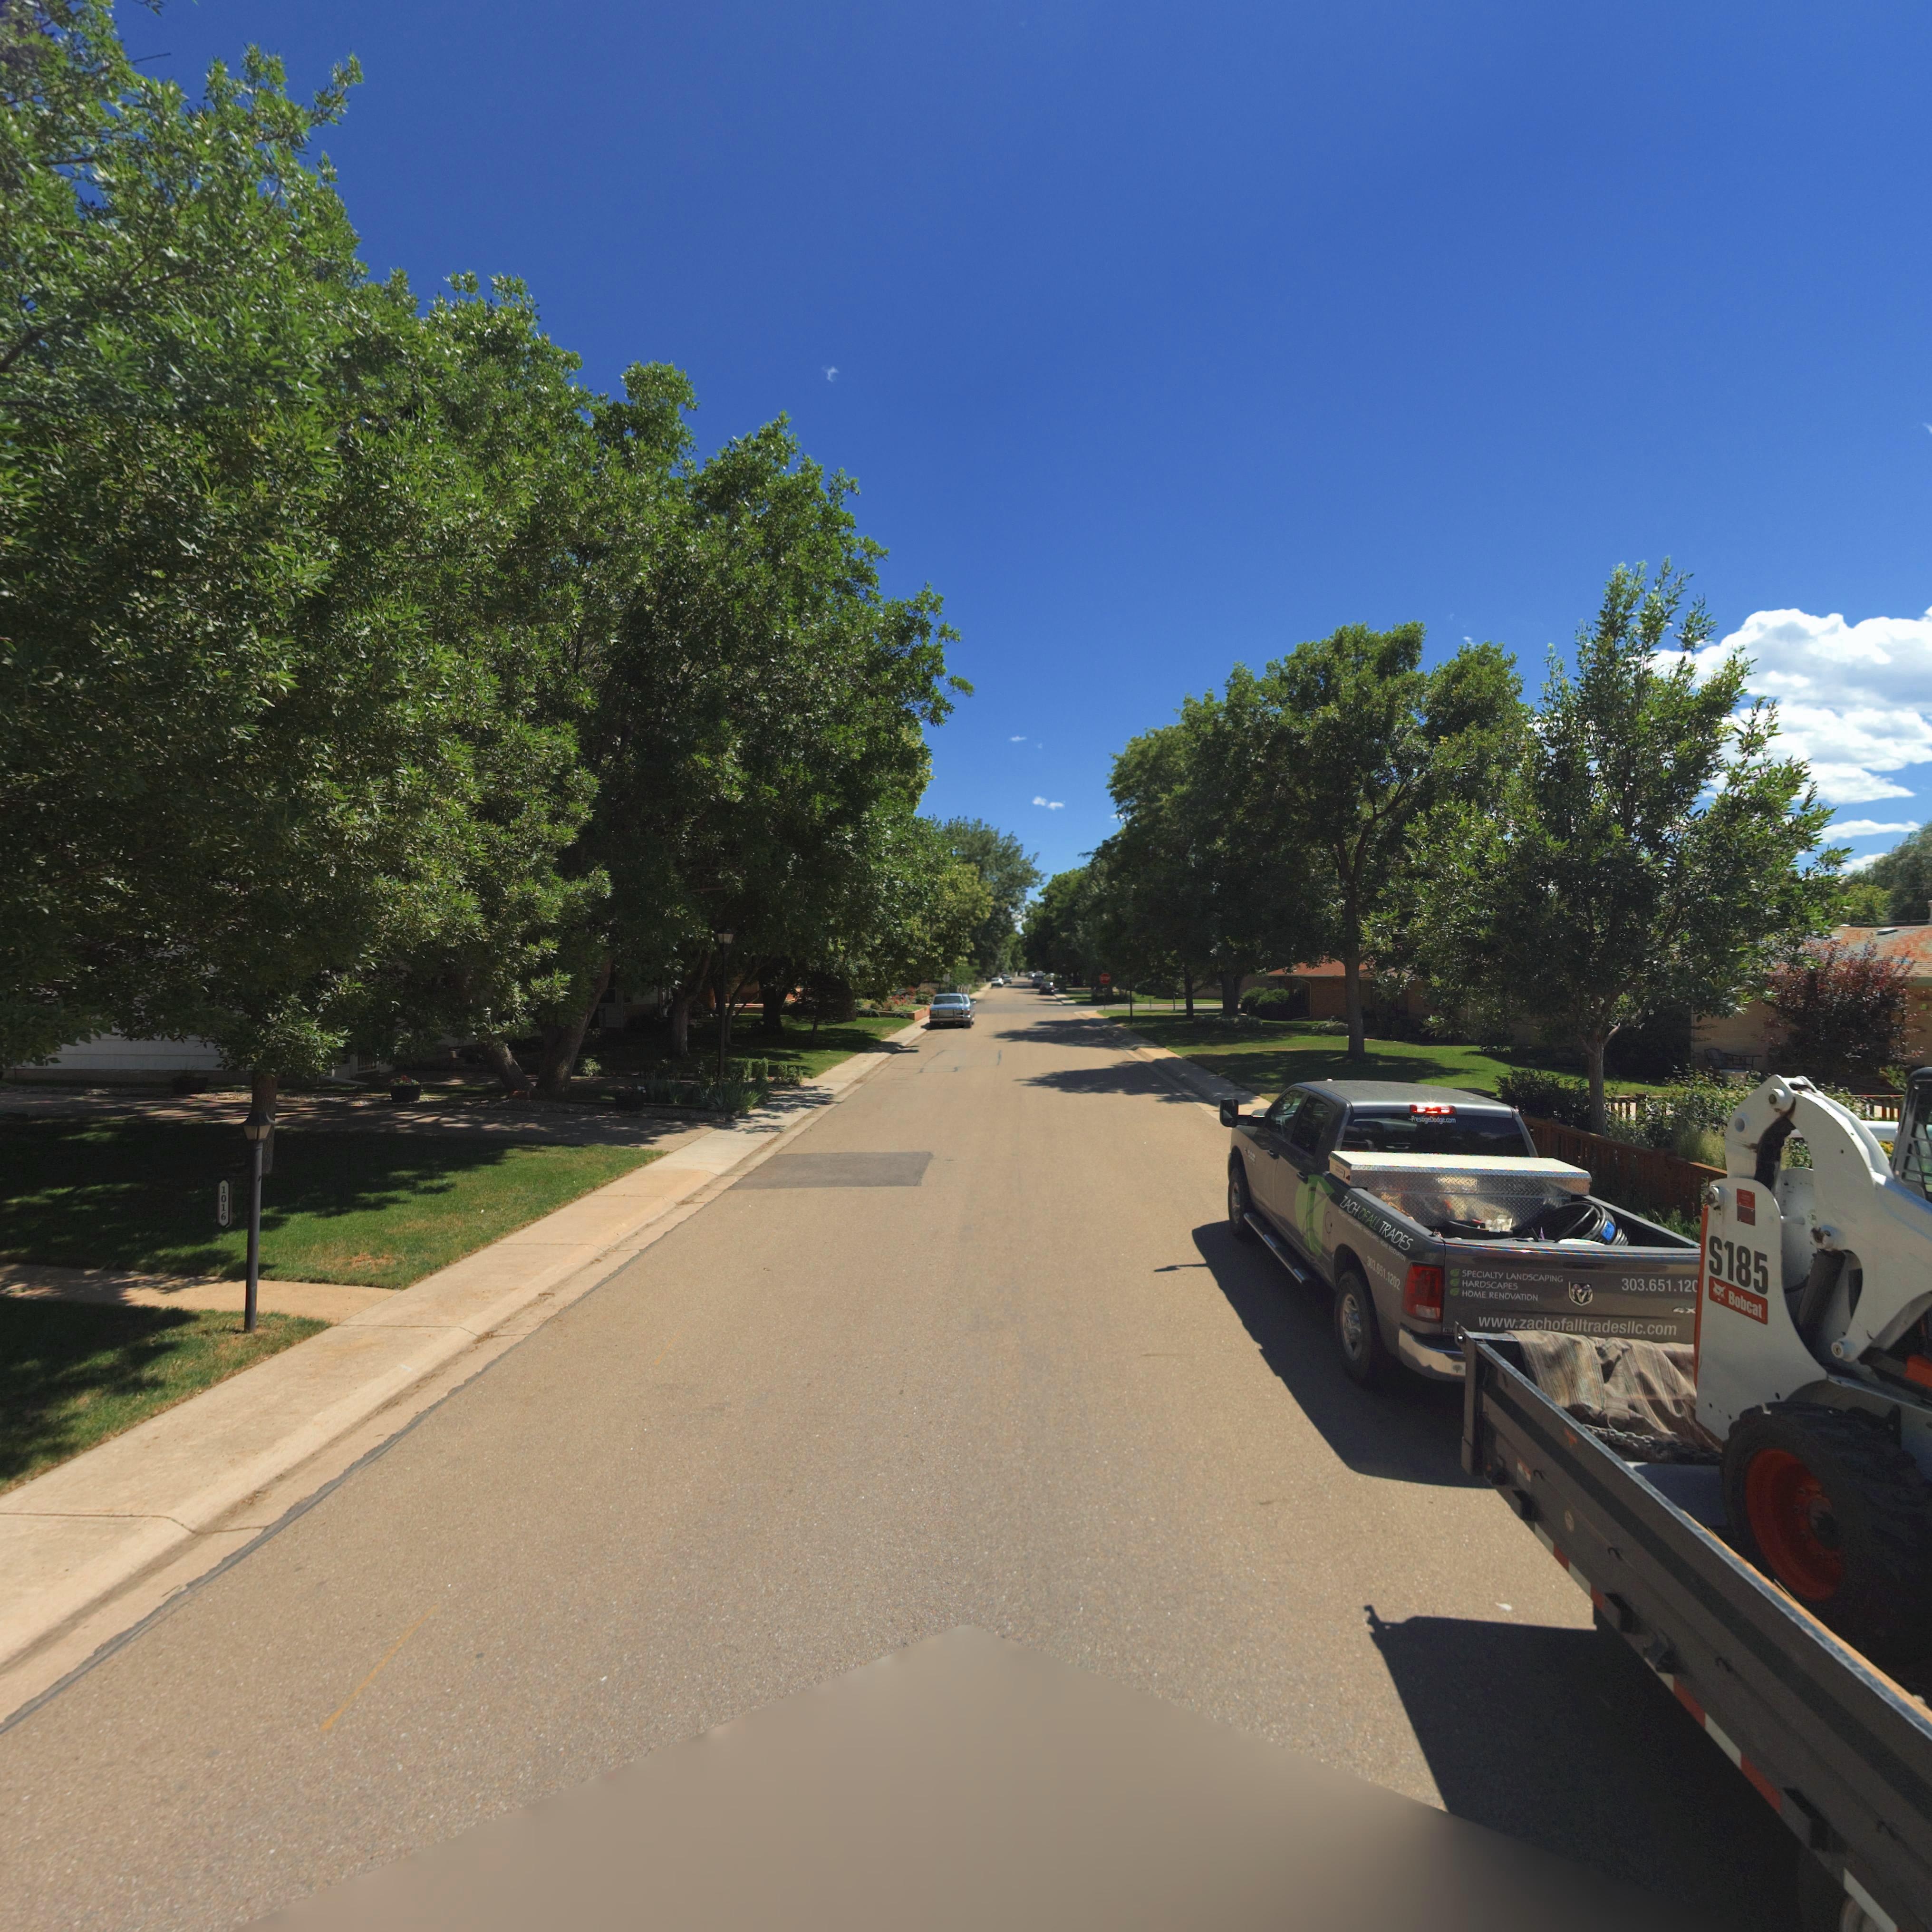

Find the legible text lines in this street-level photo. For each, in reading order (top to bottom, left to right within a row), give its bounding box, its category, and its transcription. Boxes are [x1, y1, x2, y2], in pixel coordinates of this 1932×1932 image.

[221, 1185, 226, 1220] StreetNumber: 1016